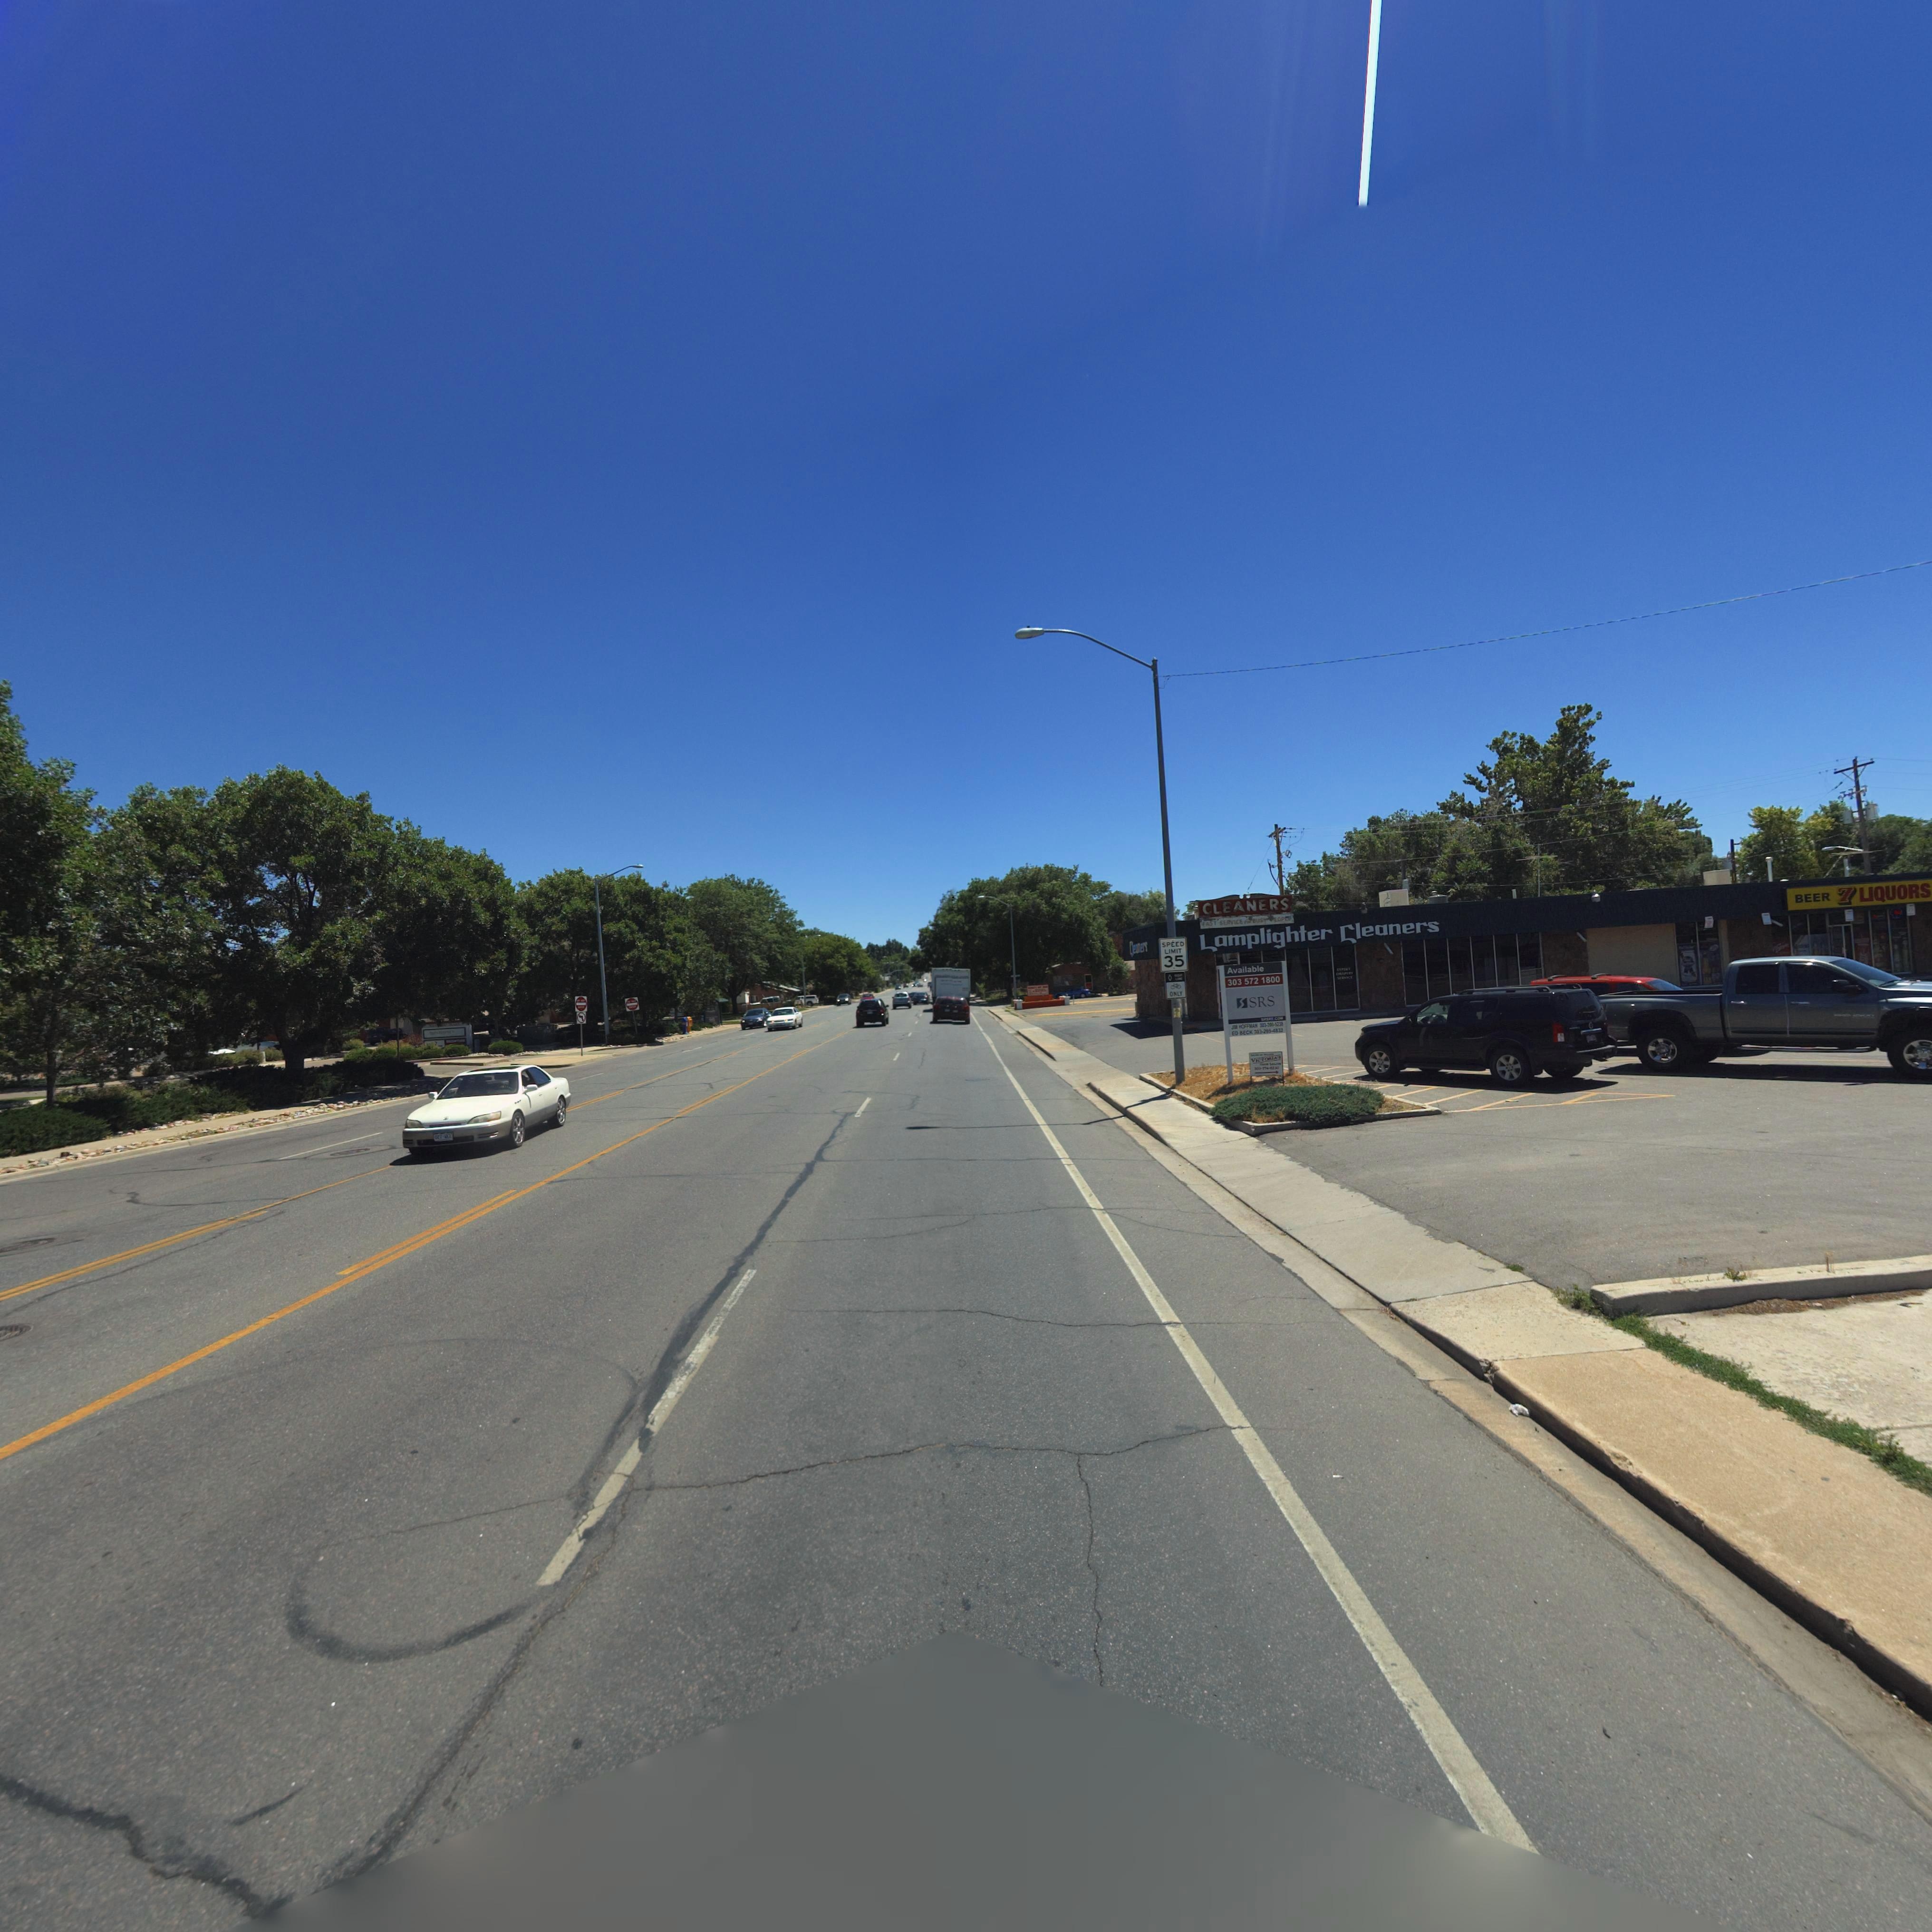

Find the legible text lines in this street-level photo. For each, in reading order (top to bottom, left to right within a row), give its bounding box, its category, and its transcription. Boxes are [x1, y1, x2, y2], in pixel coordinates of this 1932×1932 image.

[1836, 882, 1932, 904] BusinessName: 7 LIQUORS
[1129, 940, 1148, 957] BusinessName: Cleaners